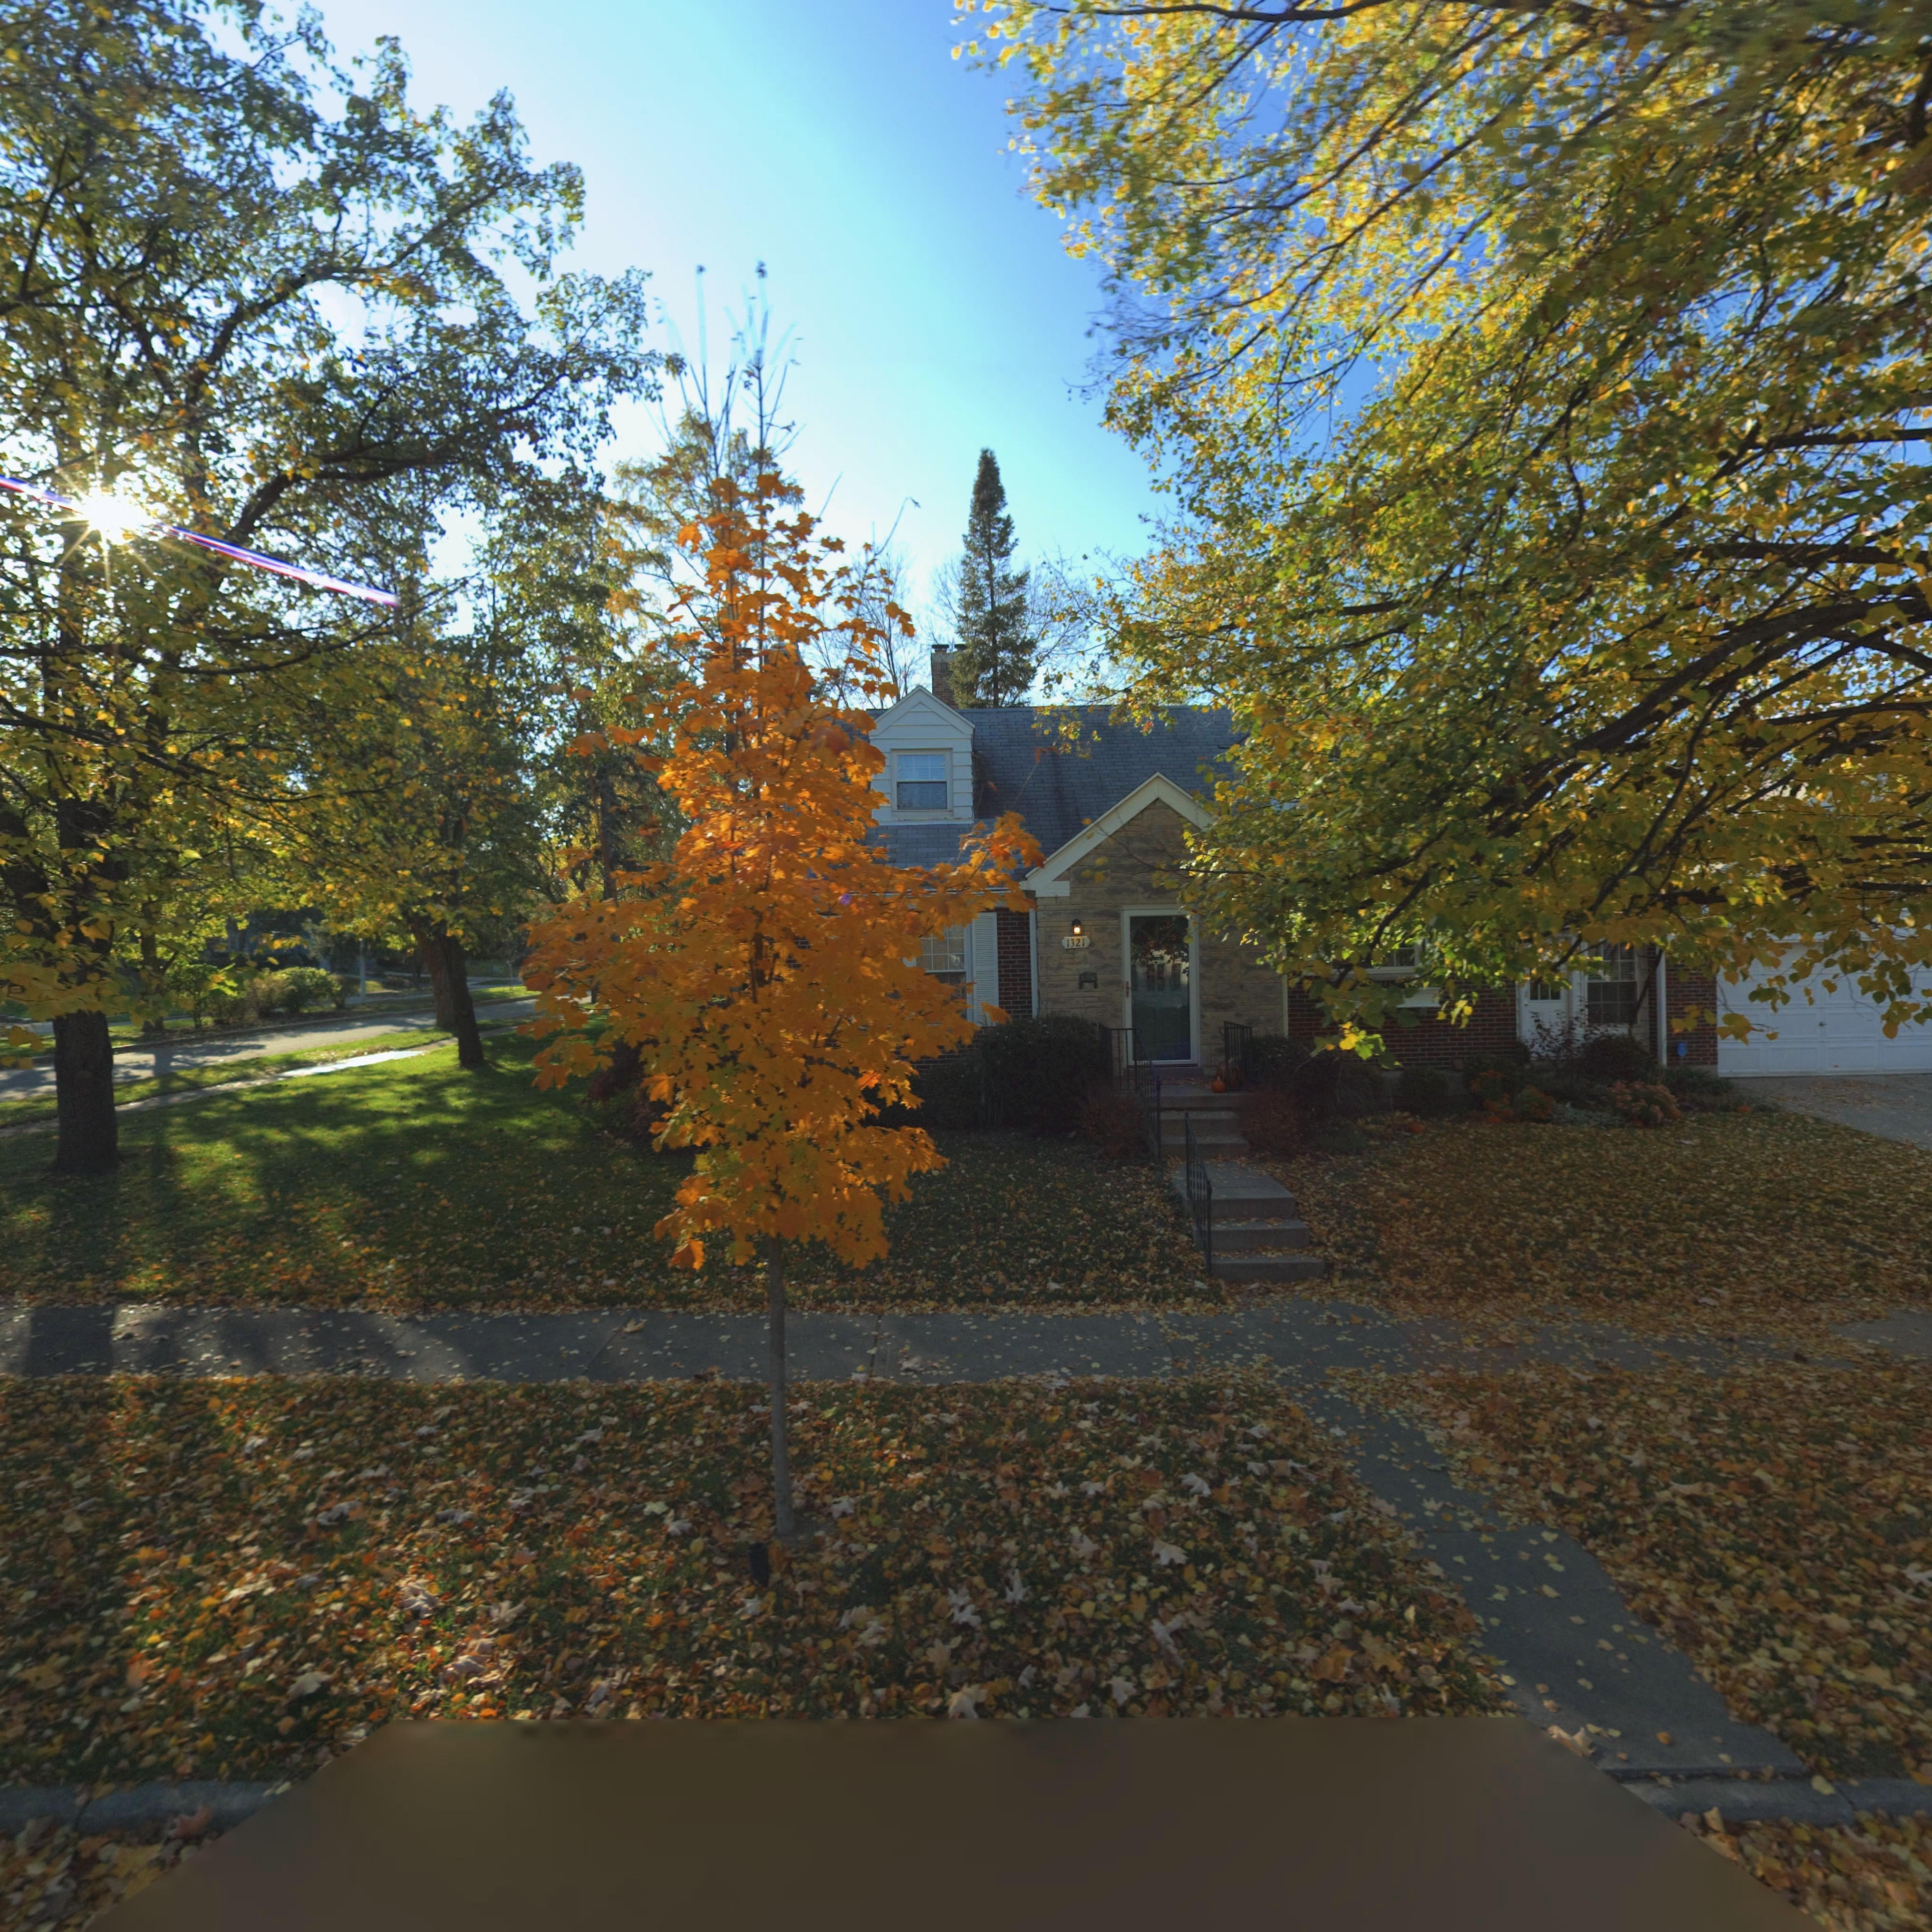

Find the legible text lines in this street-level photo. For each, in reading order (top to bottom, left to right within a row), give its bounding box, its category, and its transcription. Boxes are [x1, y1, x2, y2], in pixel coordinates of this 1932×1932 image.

[1066, 937, 1085, 948] StreetNumber: 1321